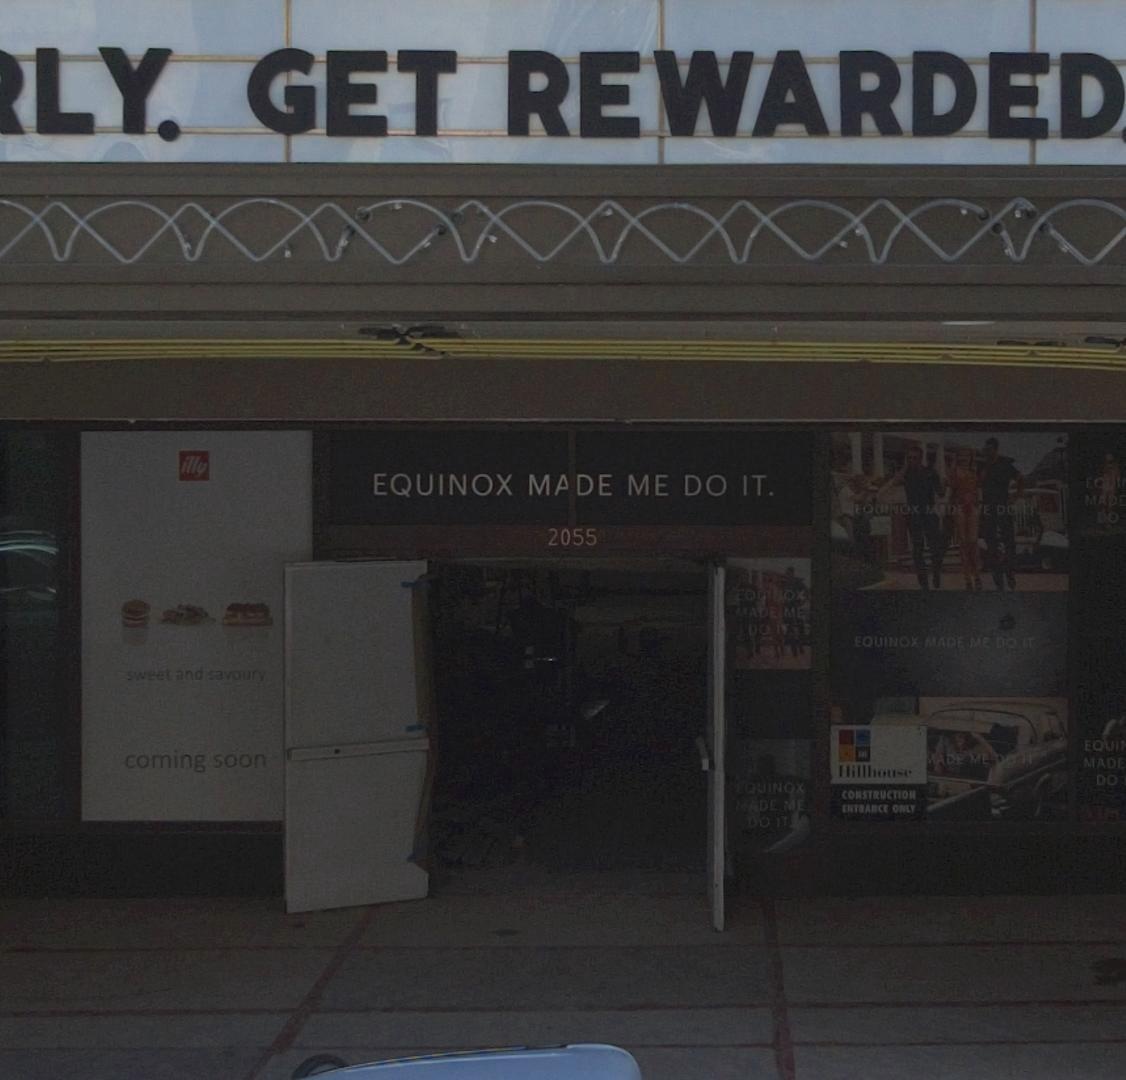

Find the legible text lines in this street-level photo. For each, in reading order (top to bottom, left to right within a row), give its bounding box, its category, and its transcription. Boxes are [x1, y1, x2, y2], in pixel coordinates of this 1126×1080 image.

[35, 46, 1126, 141] None: LY. GET REWARDED
[180, 454, 208, 479] None: illy
[372, 472, 775, 497] None: EQUINOX MA DE ME DO IT.
[1085, 474, 1122, 490] None: EQUI
[1084, 494, 1118, 508] None: MAD
[854, 503, 1041, 516] None: EQUINOX MADE ME DO IT.
[1097, 510, 1119, 525] None: DO
[547, 527, 598, 547] StreetNumber: 2055
[735, 588, 807, 602] BusinessName: EQUINOX
[734, 605, 807, 620] None: MADE ME
[748, 622, 793, 635] None: DO IT.
[854, 635, 1038, 649] None: EQUINOX MADE ME DO IT.
[126, 666, 267, 684] None: sweet and savoury
[1083, 739, 1120, 752] None: EQUI
[124, 749, 267, 773] None: coming soon
[936, 754, 1040, 766] None: ADE ME DO IT.
[1082, 756, 1119, 770] None: MAD
[838, 763, 913, 779] None: Hillhouse
[1095, 774, 1118, 787] None: DO
[735, 781, 806, 795] BusinessName: EQUINOX
[841, 789, 917, 800] None: CONSTRUCTION
[735, 799, 806, 811] None: MADE ME
[841, 804, 916, 814] None: ENTRANCE ONLY
[747, 815, 794, 829] None: DO IT.